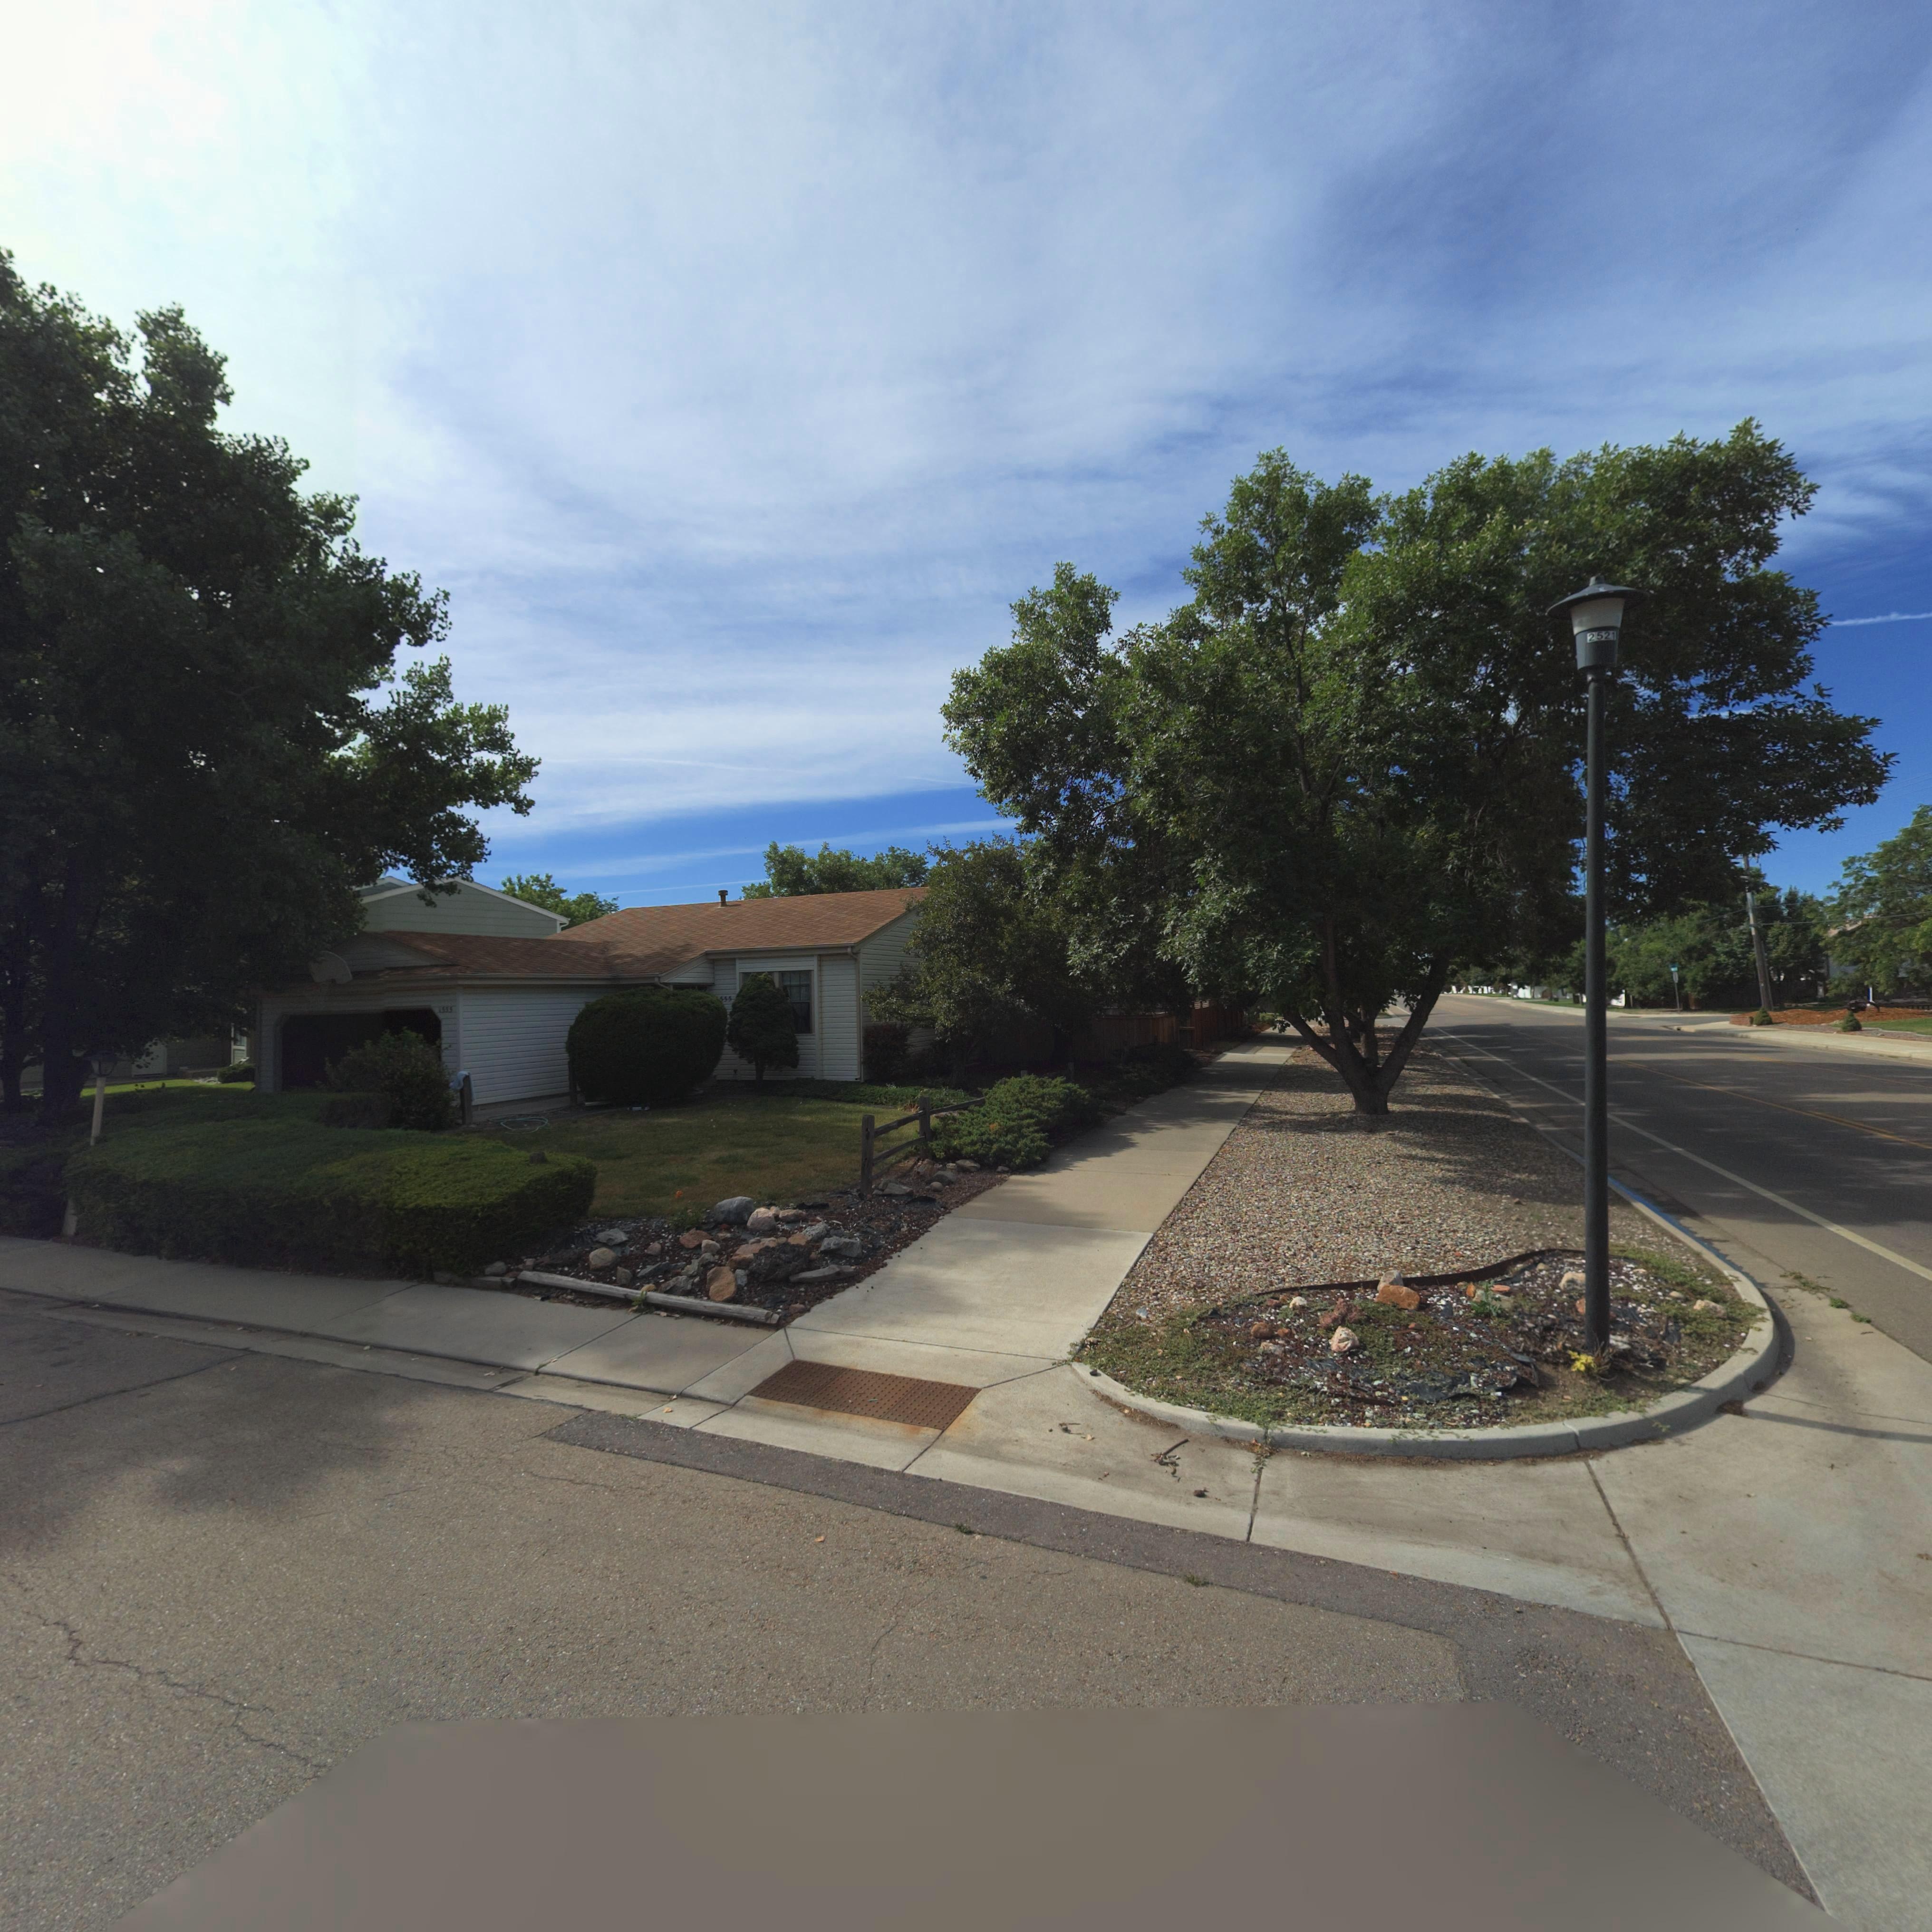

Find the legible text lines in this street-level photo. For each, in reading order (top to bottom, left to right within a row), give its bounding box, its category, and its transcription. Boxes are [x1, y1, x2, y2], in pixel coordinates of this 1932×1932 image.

[438, 1005, 453, 1013] StreetNumber: *555